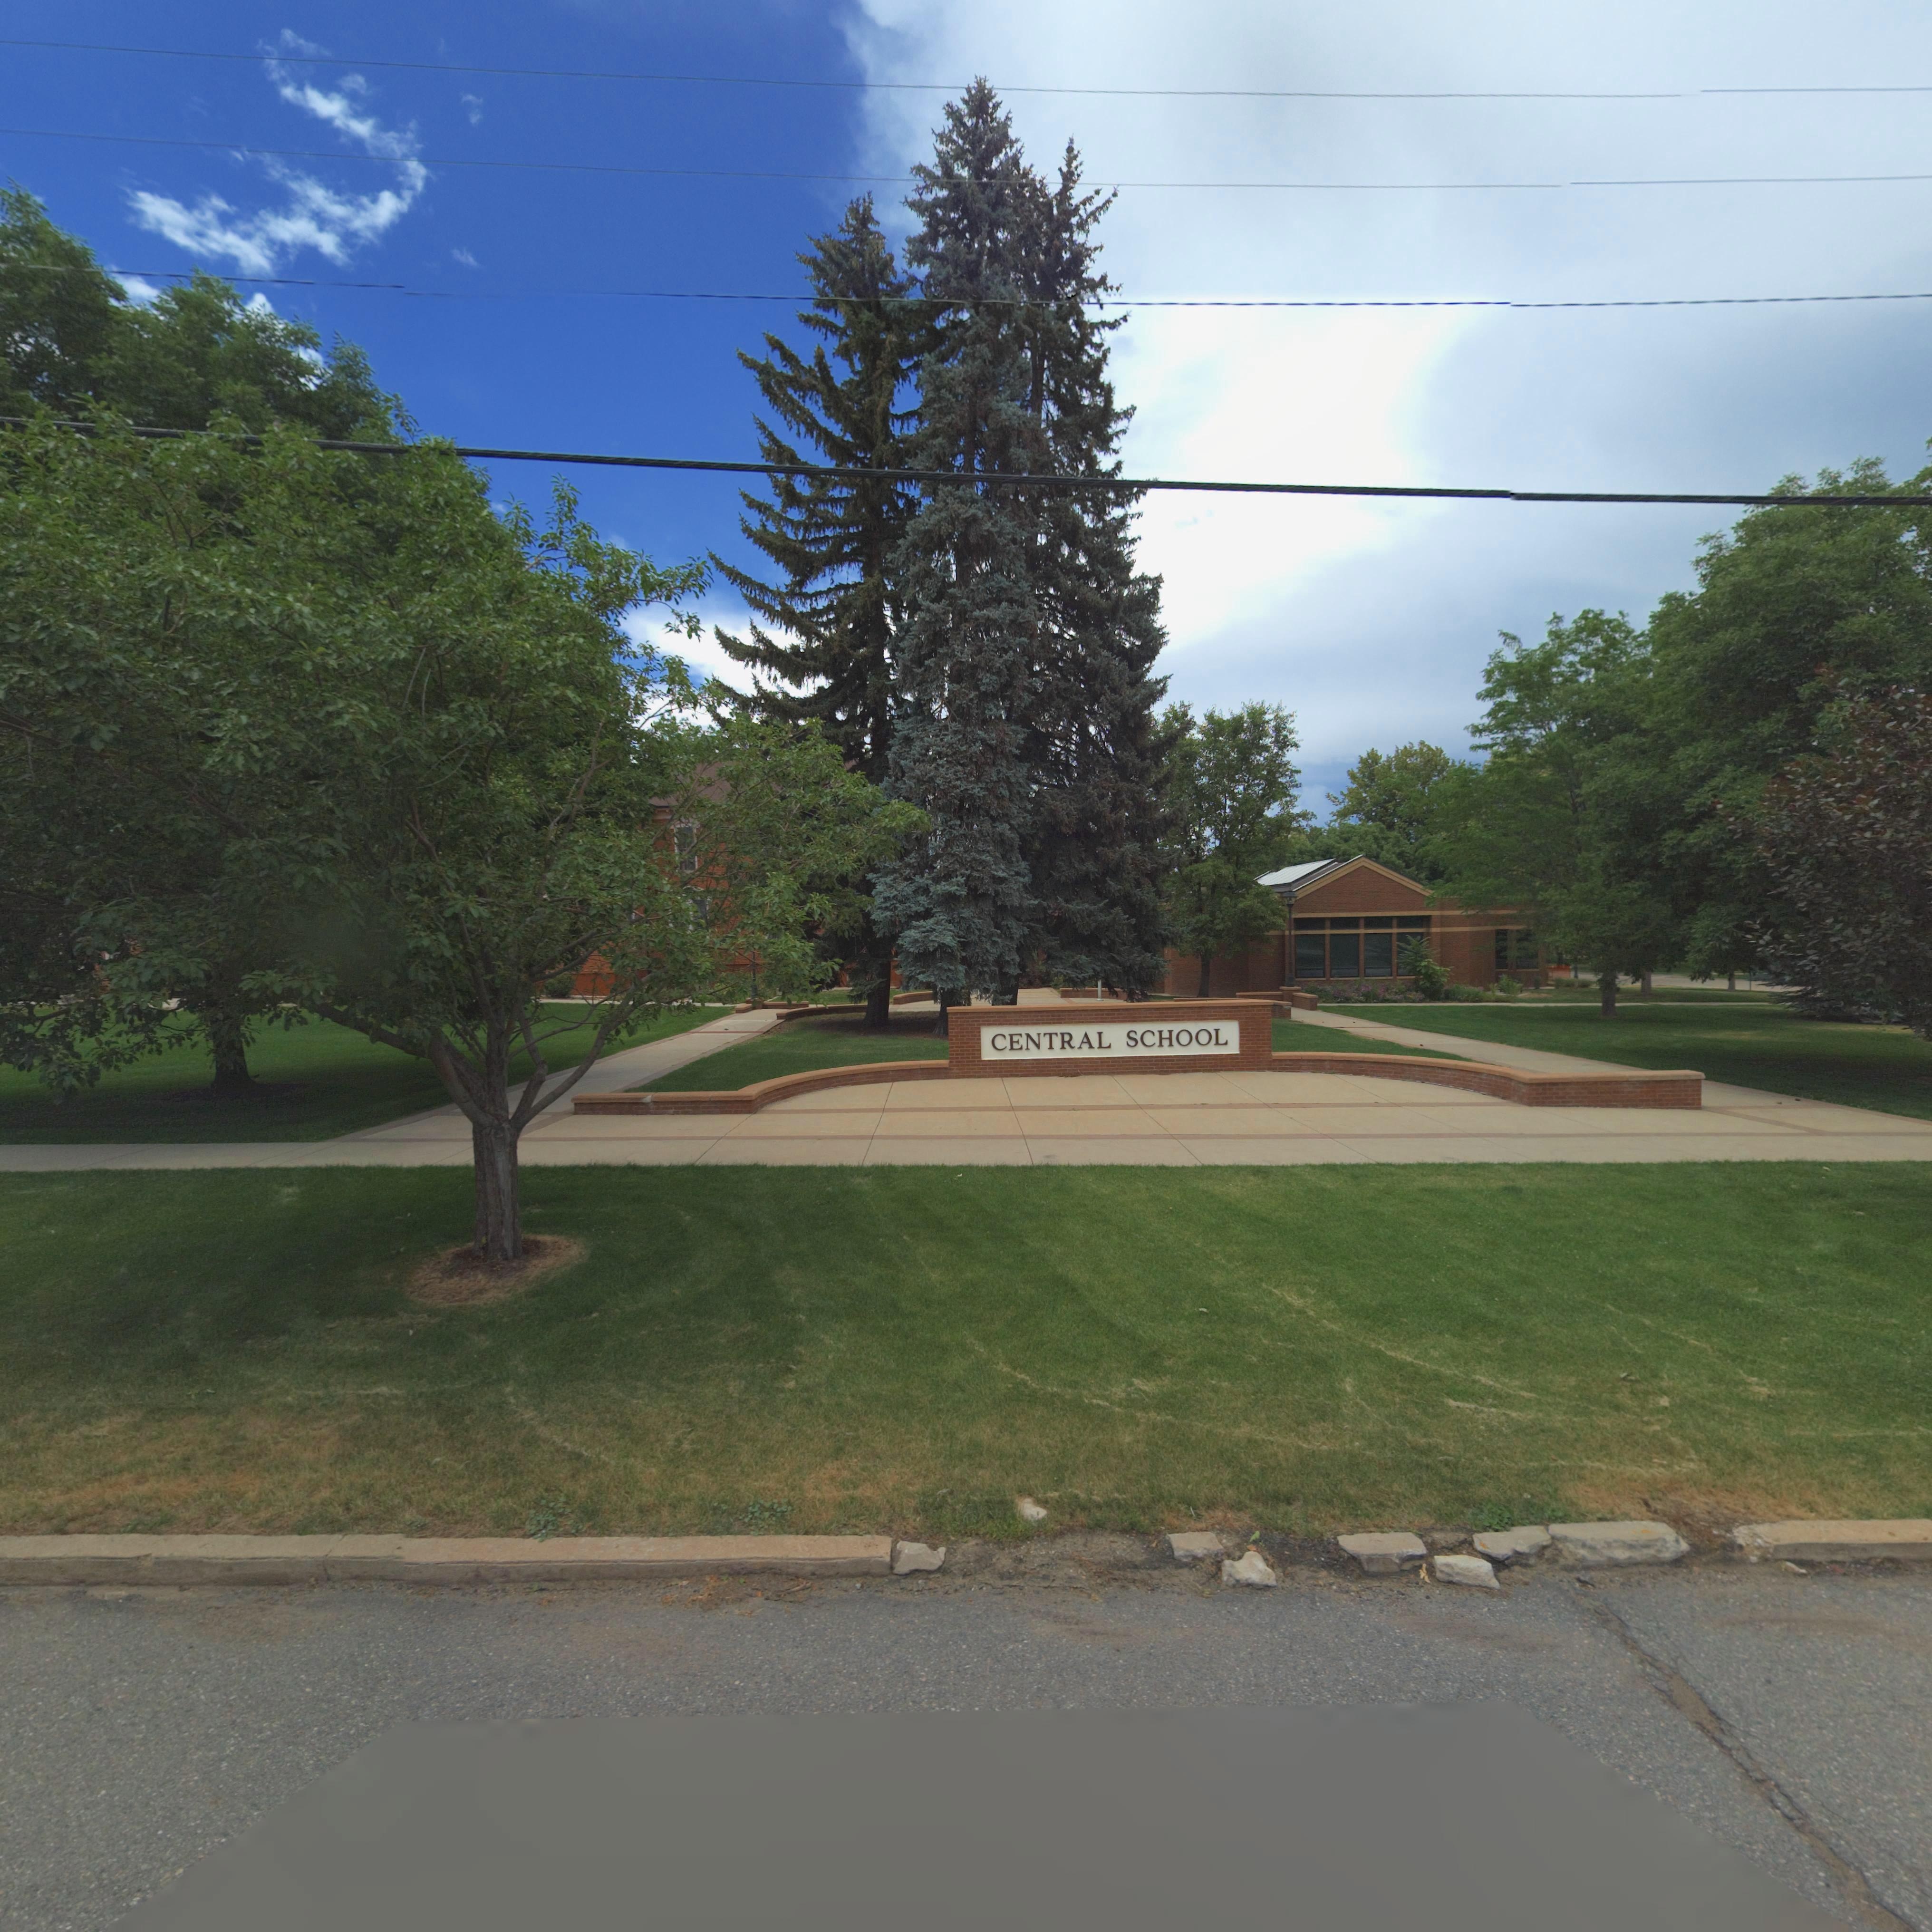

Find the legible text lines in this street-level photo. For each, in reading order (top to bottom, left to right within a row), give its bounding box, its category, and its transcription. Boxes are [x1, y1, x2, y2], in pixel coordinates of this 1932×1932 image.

[991, 1028, 1227, 1051] BusinessName: CENTRAL SCHOOL